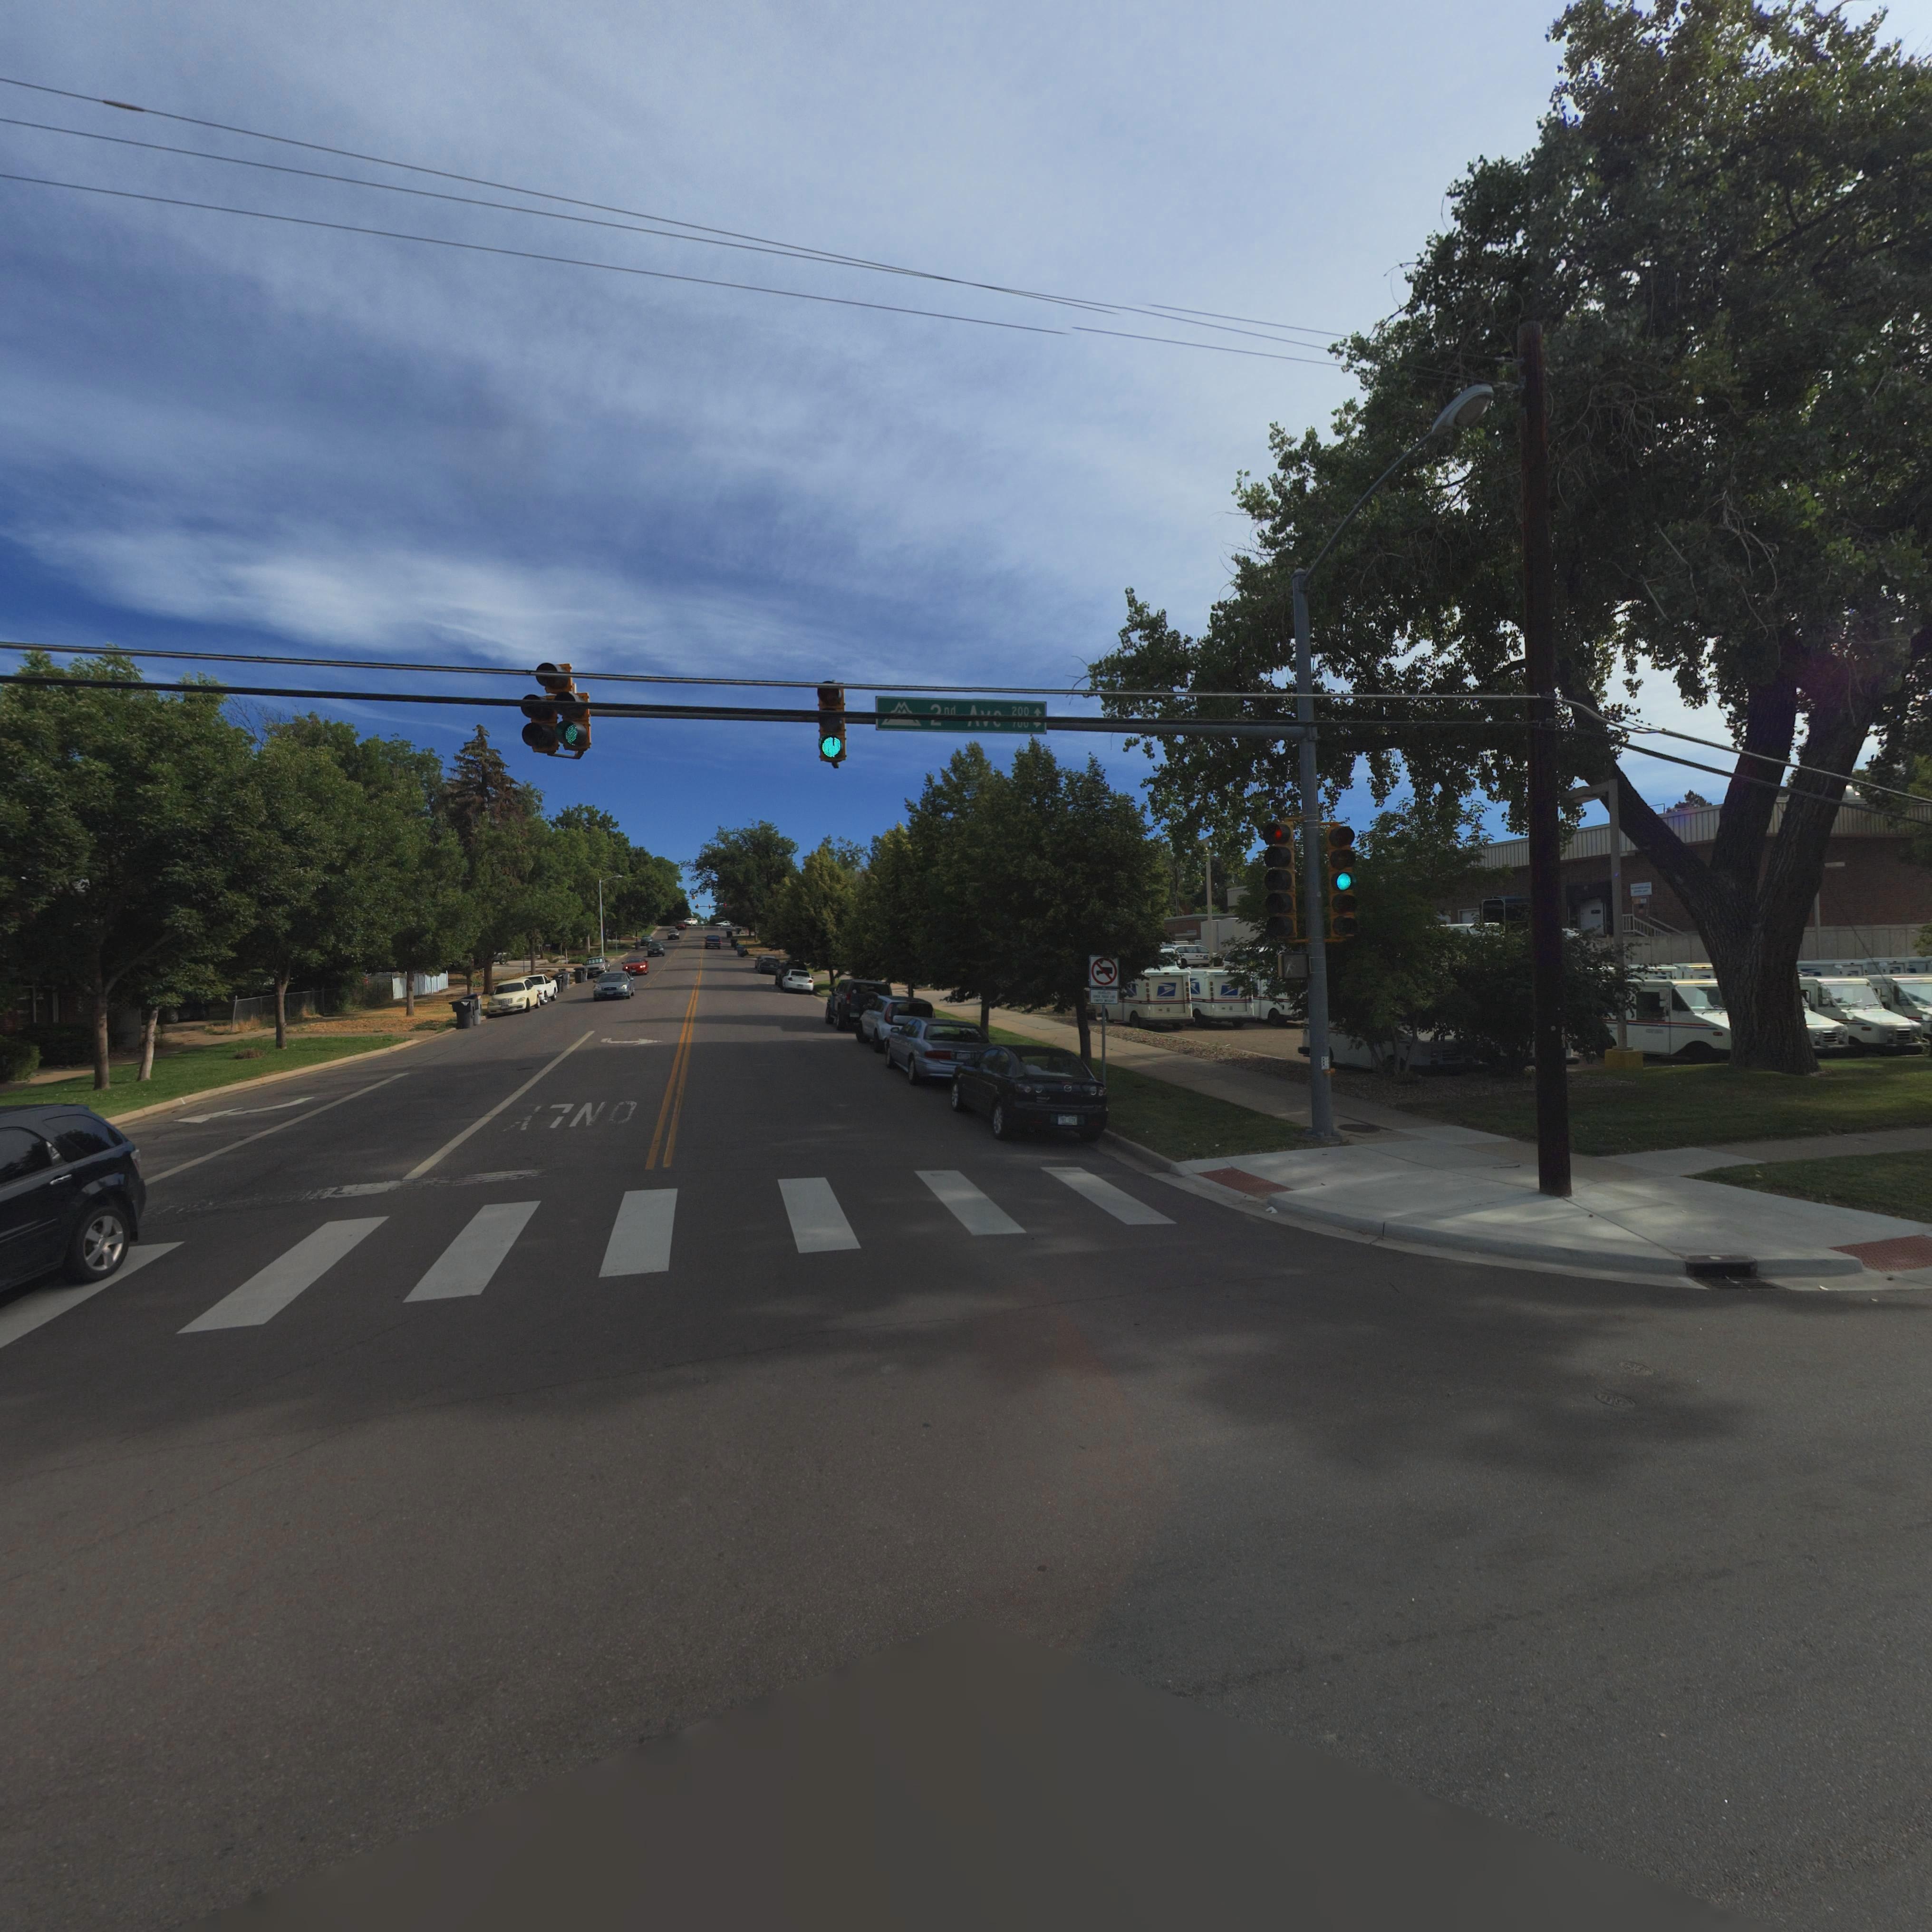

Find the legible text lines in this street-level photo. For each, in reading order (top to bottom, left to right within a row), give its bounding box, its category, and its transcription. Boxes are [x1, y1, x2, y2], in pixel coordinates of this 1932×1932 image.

[928, 702, 1003, 727] StreetName: 2nd Ave
[1011, 705, 1030, 716] StreetNumberRange: 200
[1011, 719, 1043, 729] StreetNumberRange: *00->